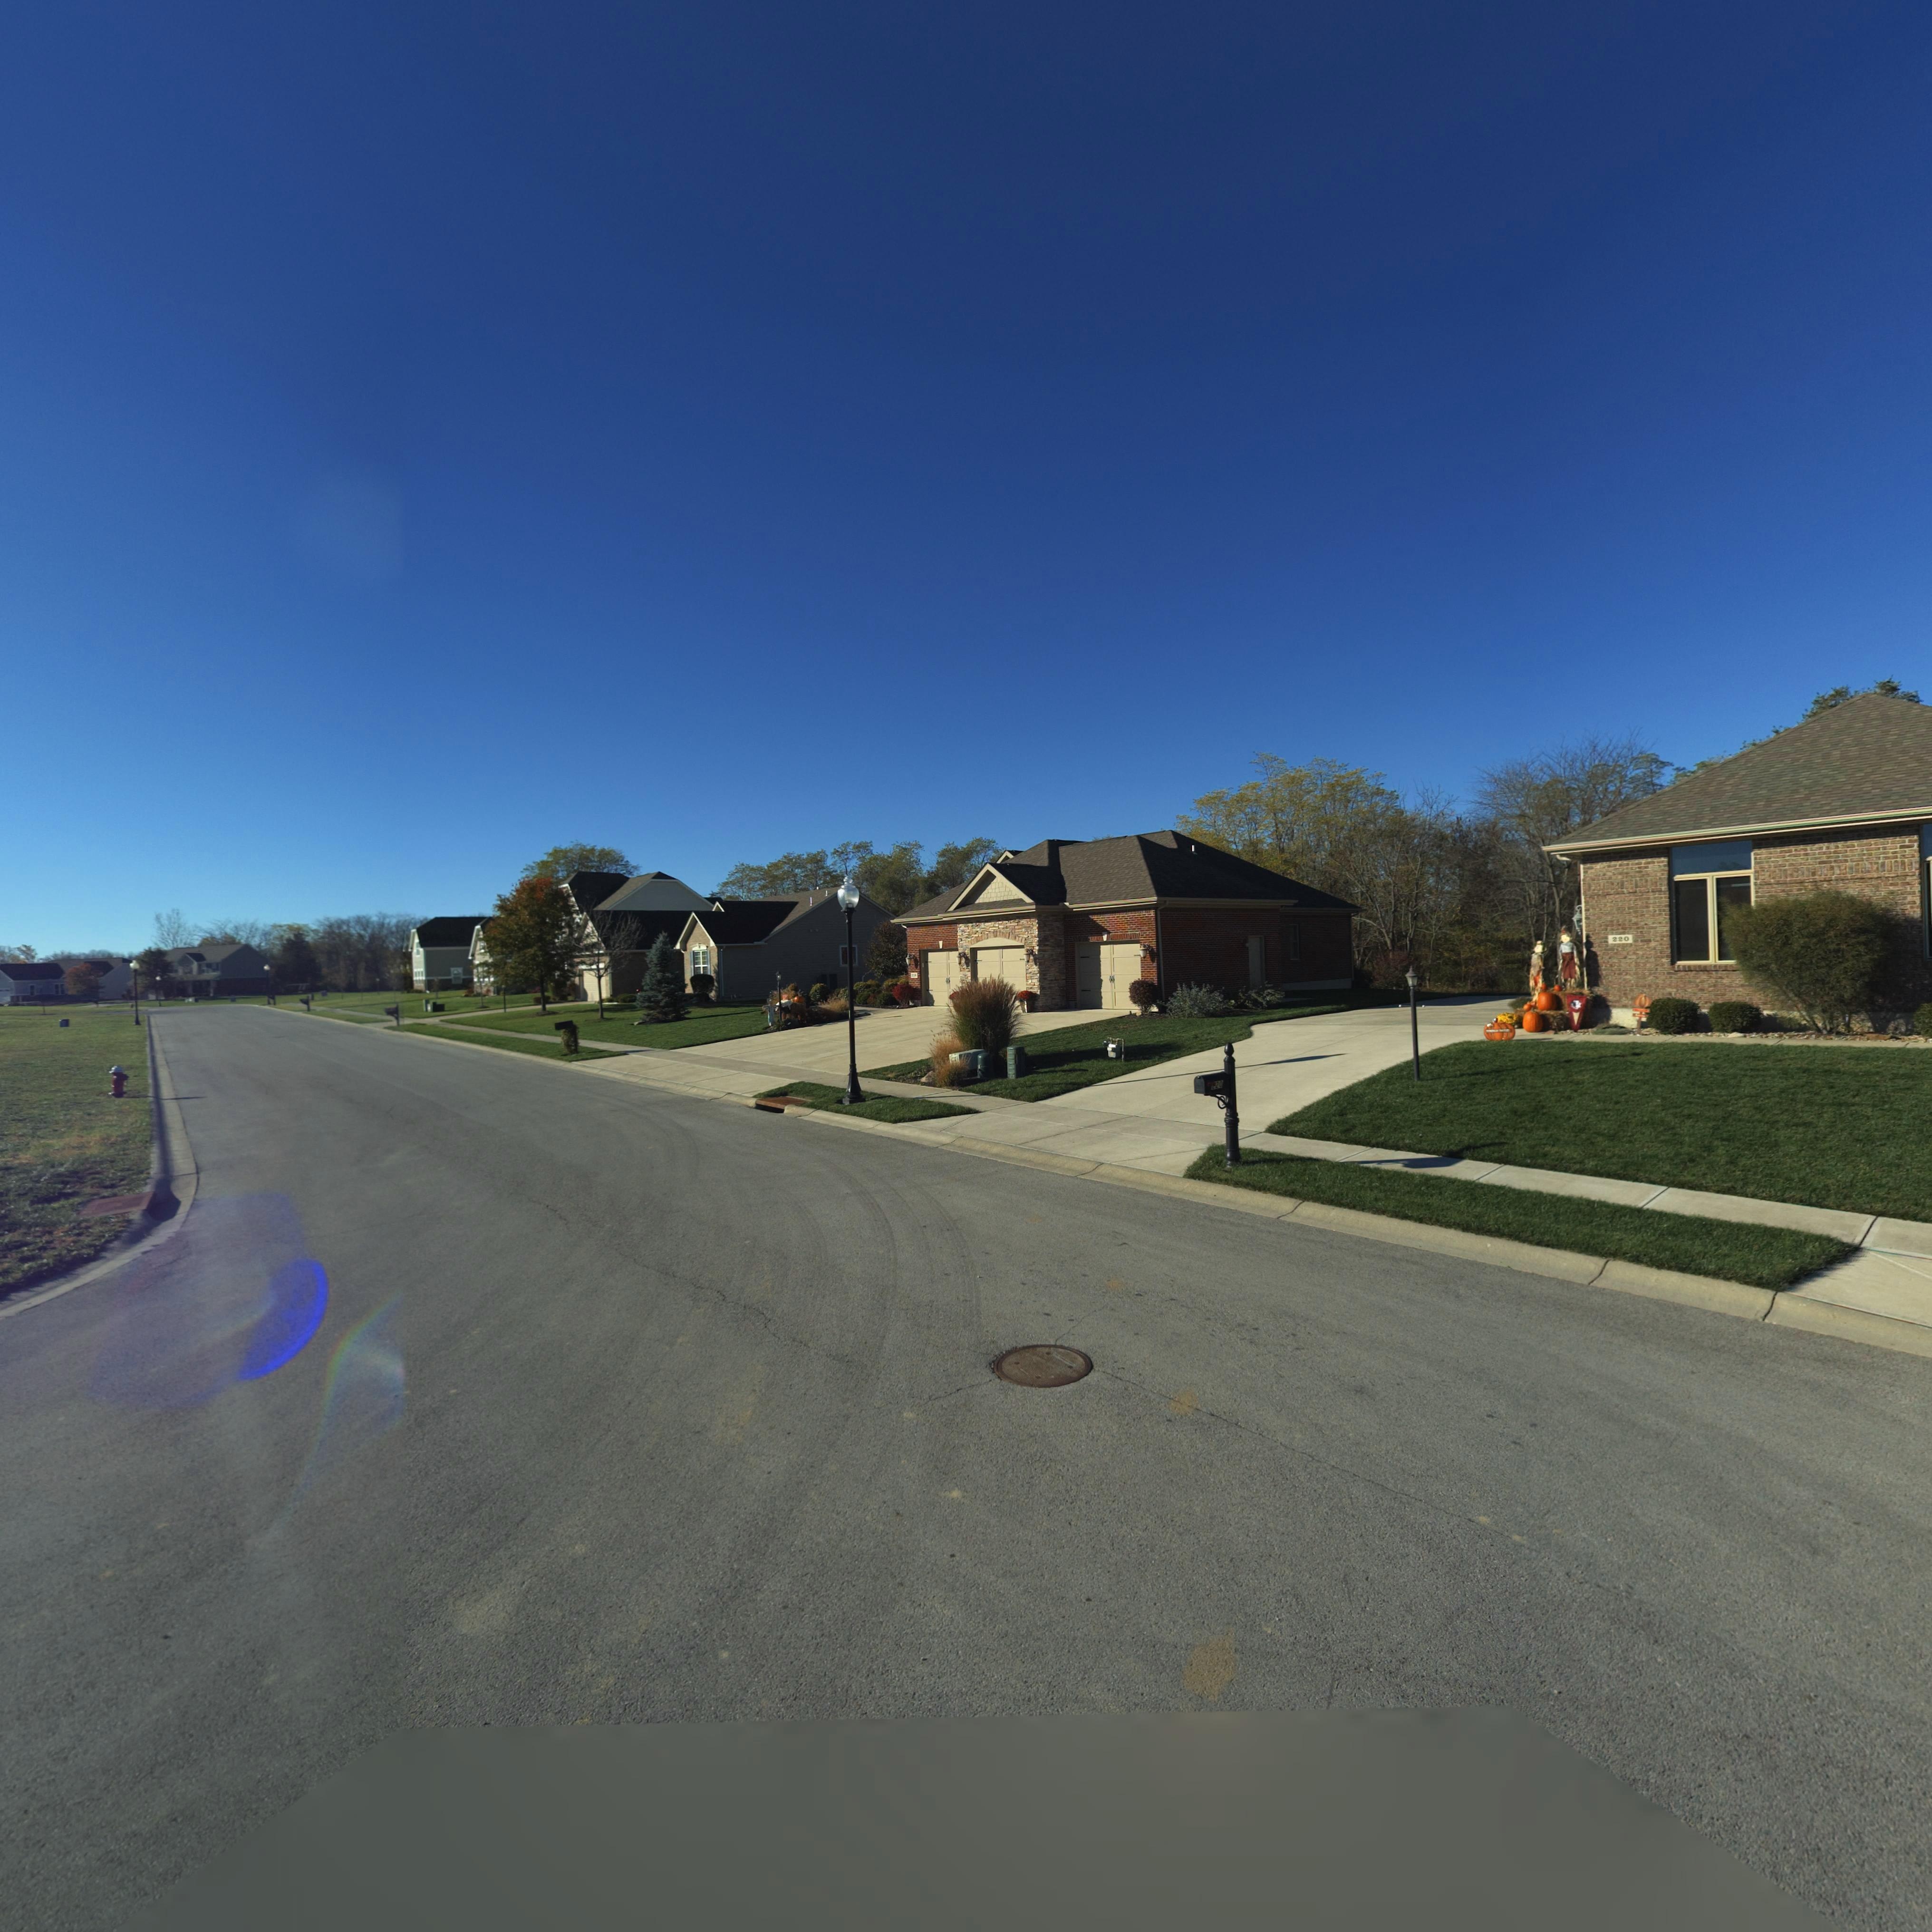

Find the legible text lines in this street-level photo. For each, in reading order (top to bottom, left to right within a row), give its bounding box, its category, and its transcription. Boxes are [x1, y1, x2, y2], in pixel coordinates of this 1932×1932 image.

[1612, 936, 1630, 943] StreetNumber: 220
[1214, 1080, 1224, 1089] StreetNumber: 20